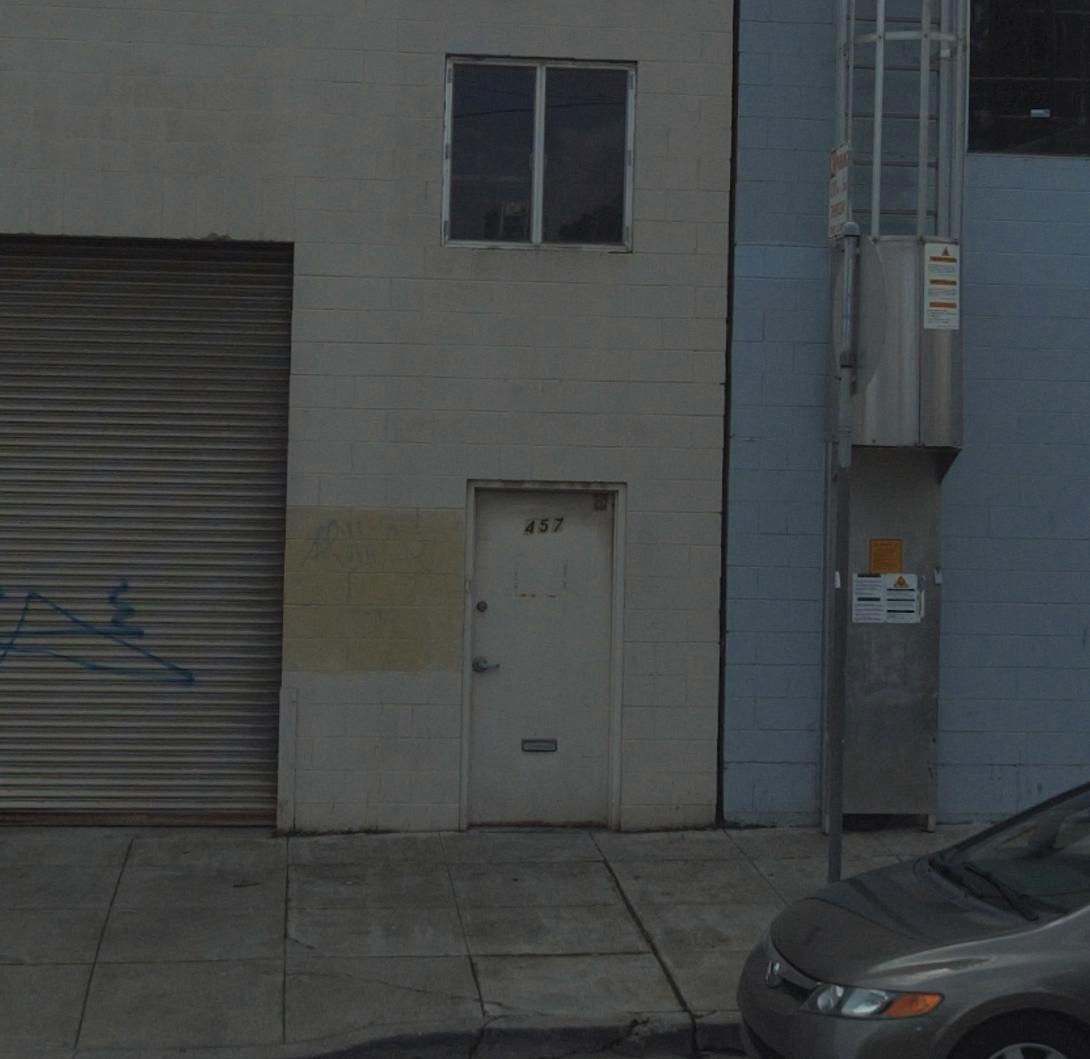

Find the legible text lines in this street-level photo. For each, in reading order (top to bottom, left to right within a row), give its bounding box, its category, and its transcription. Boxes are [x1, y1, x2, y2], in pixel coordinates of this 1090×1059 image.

[521, 516, 568, 535] StreetNumber: 457